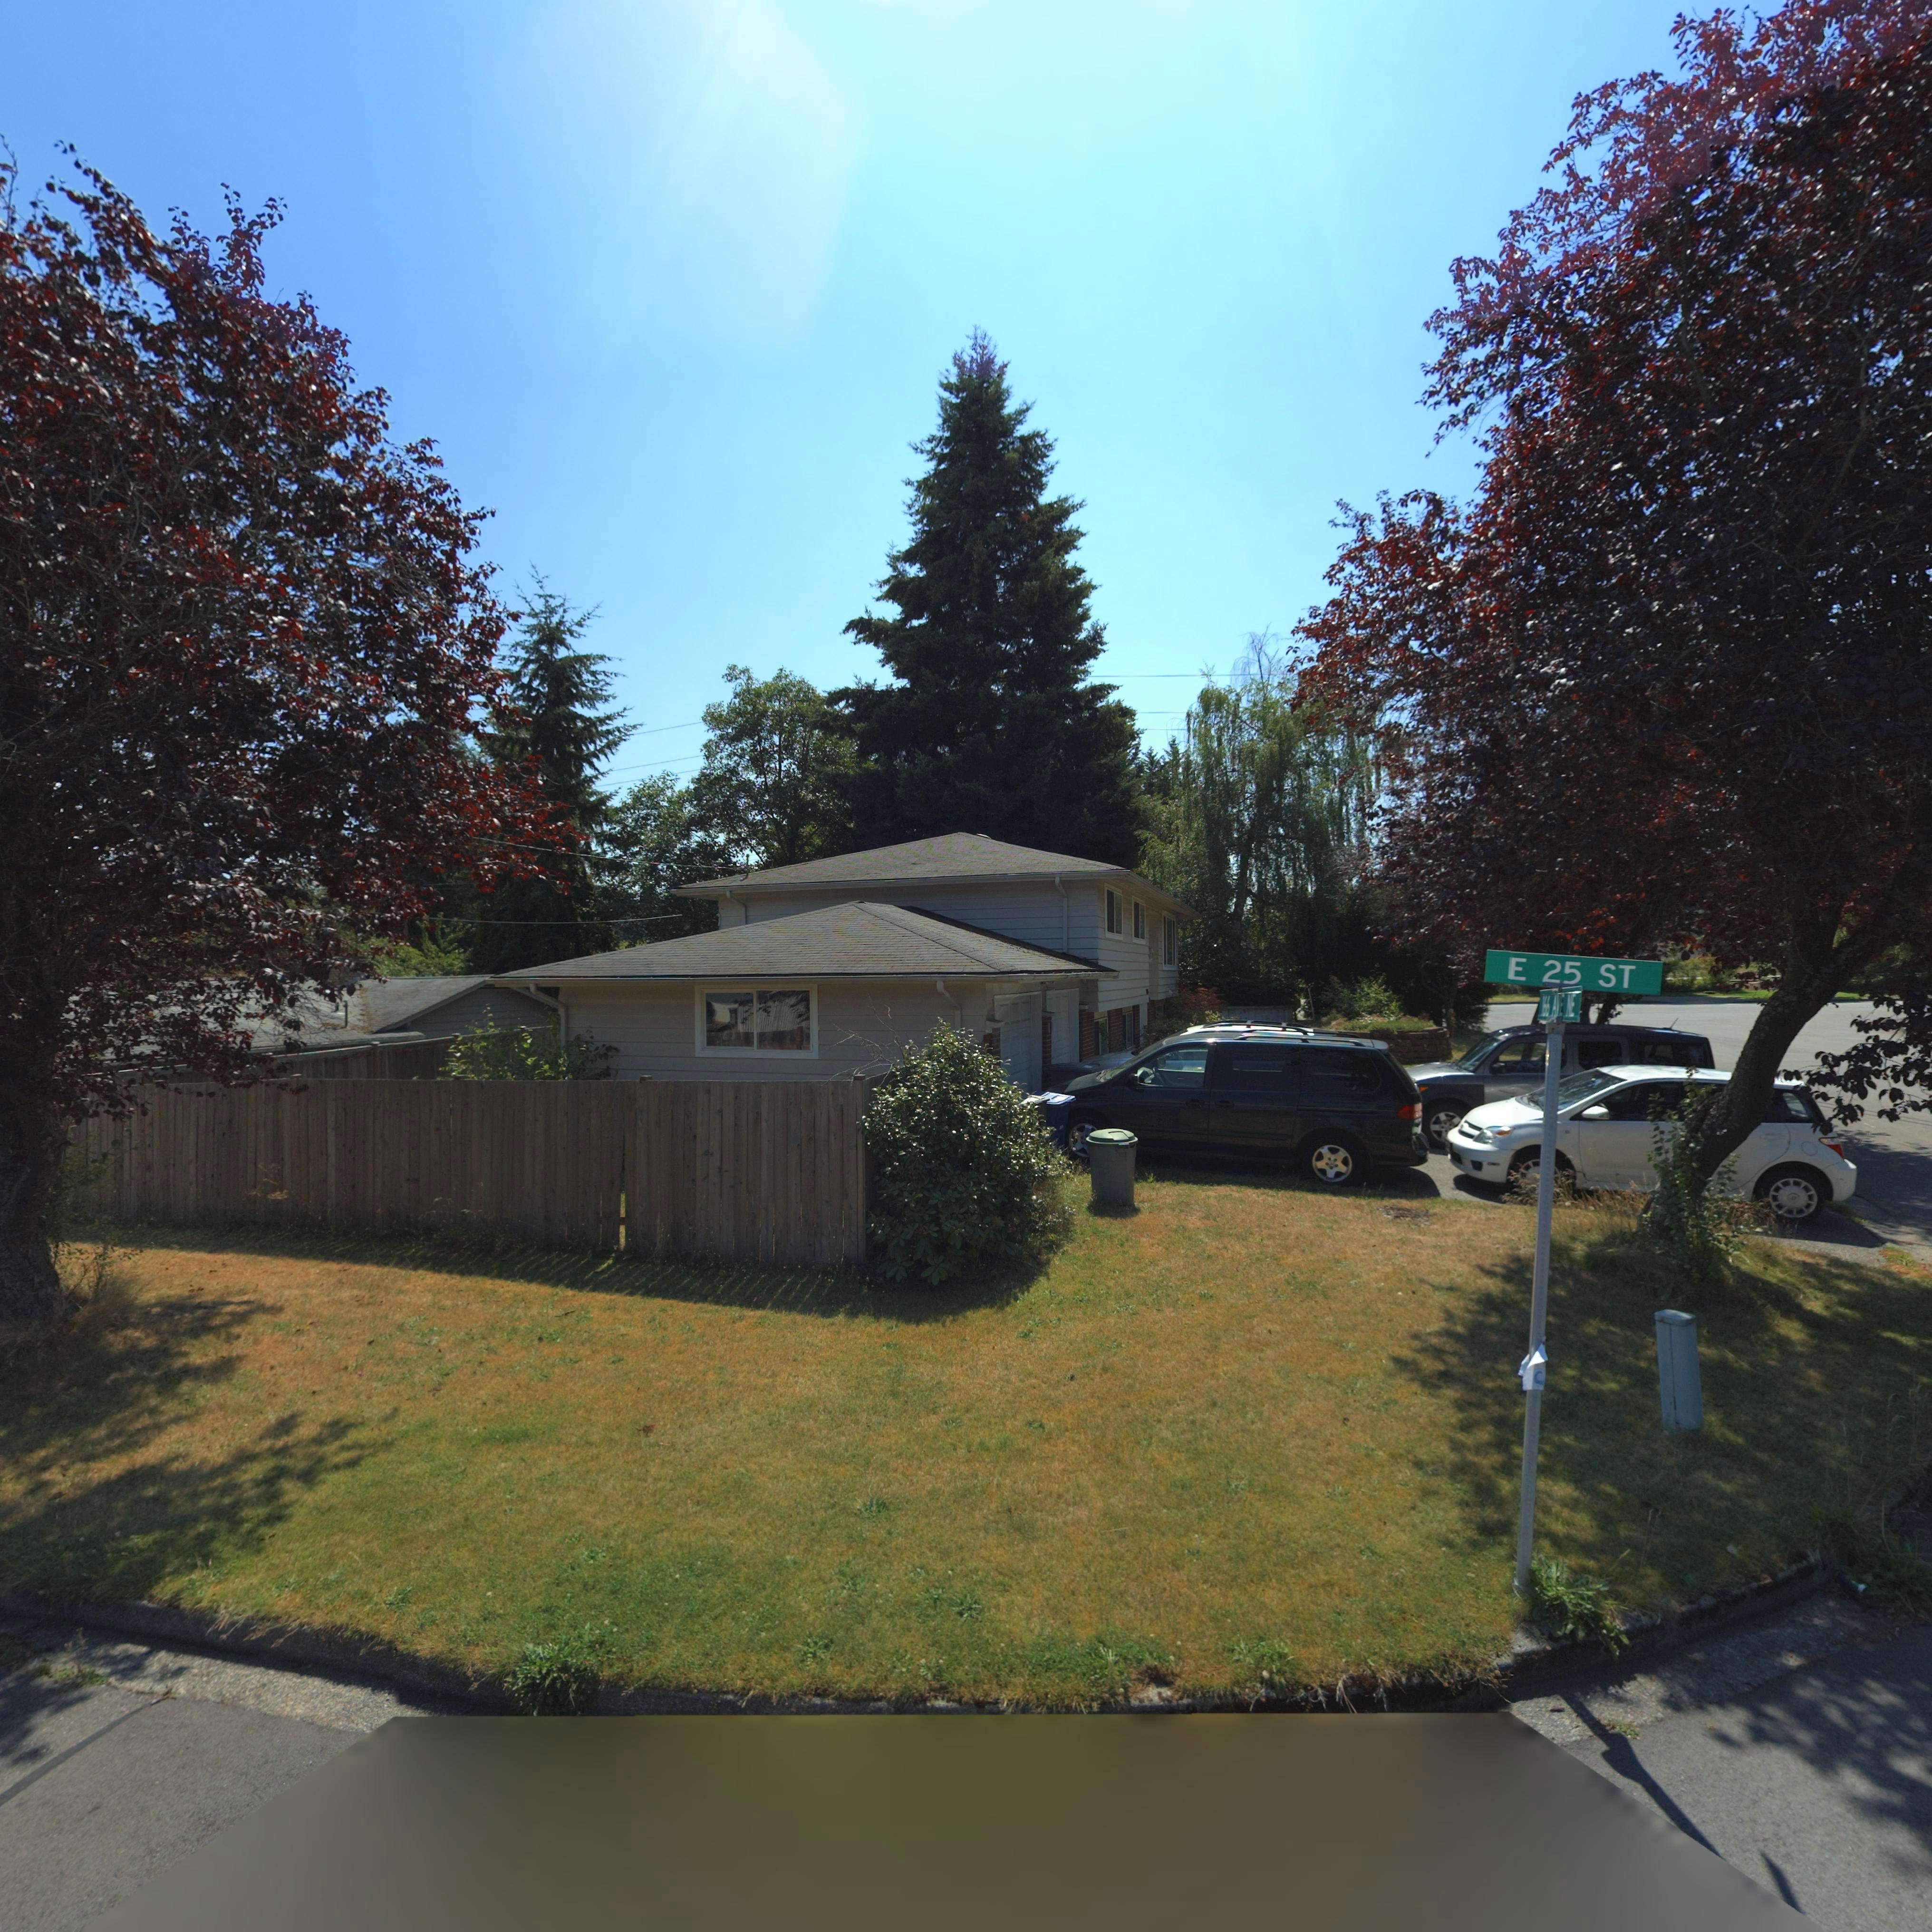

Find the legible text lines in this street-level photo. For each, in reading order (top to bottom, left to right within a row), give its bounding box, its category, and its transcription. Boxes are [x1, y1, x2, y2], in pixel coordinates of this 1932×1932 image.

[1507, 957, 1635, 988] StreetName: E 25 ST